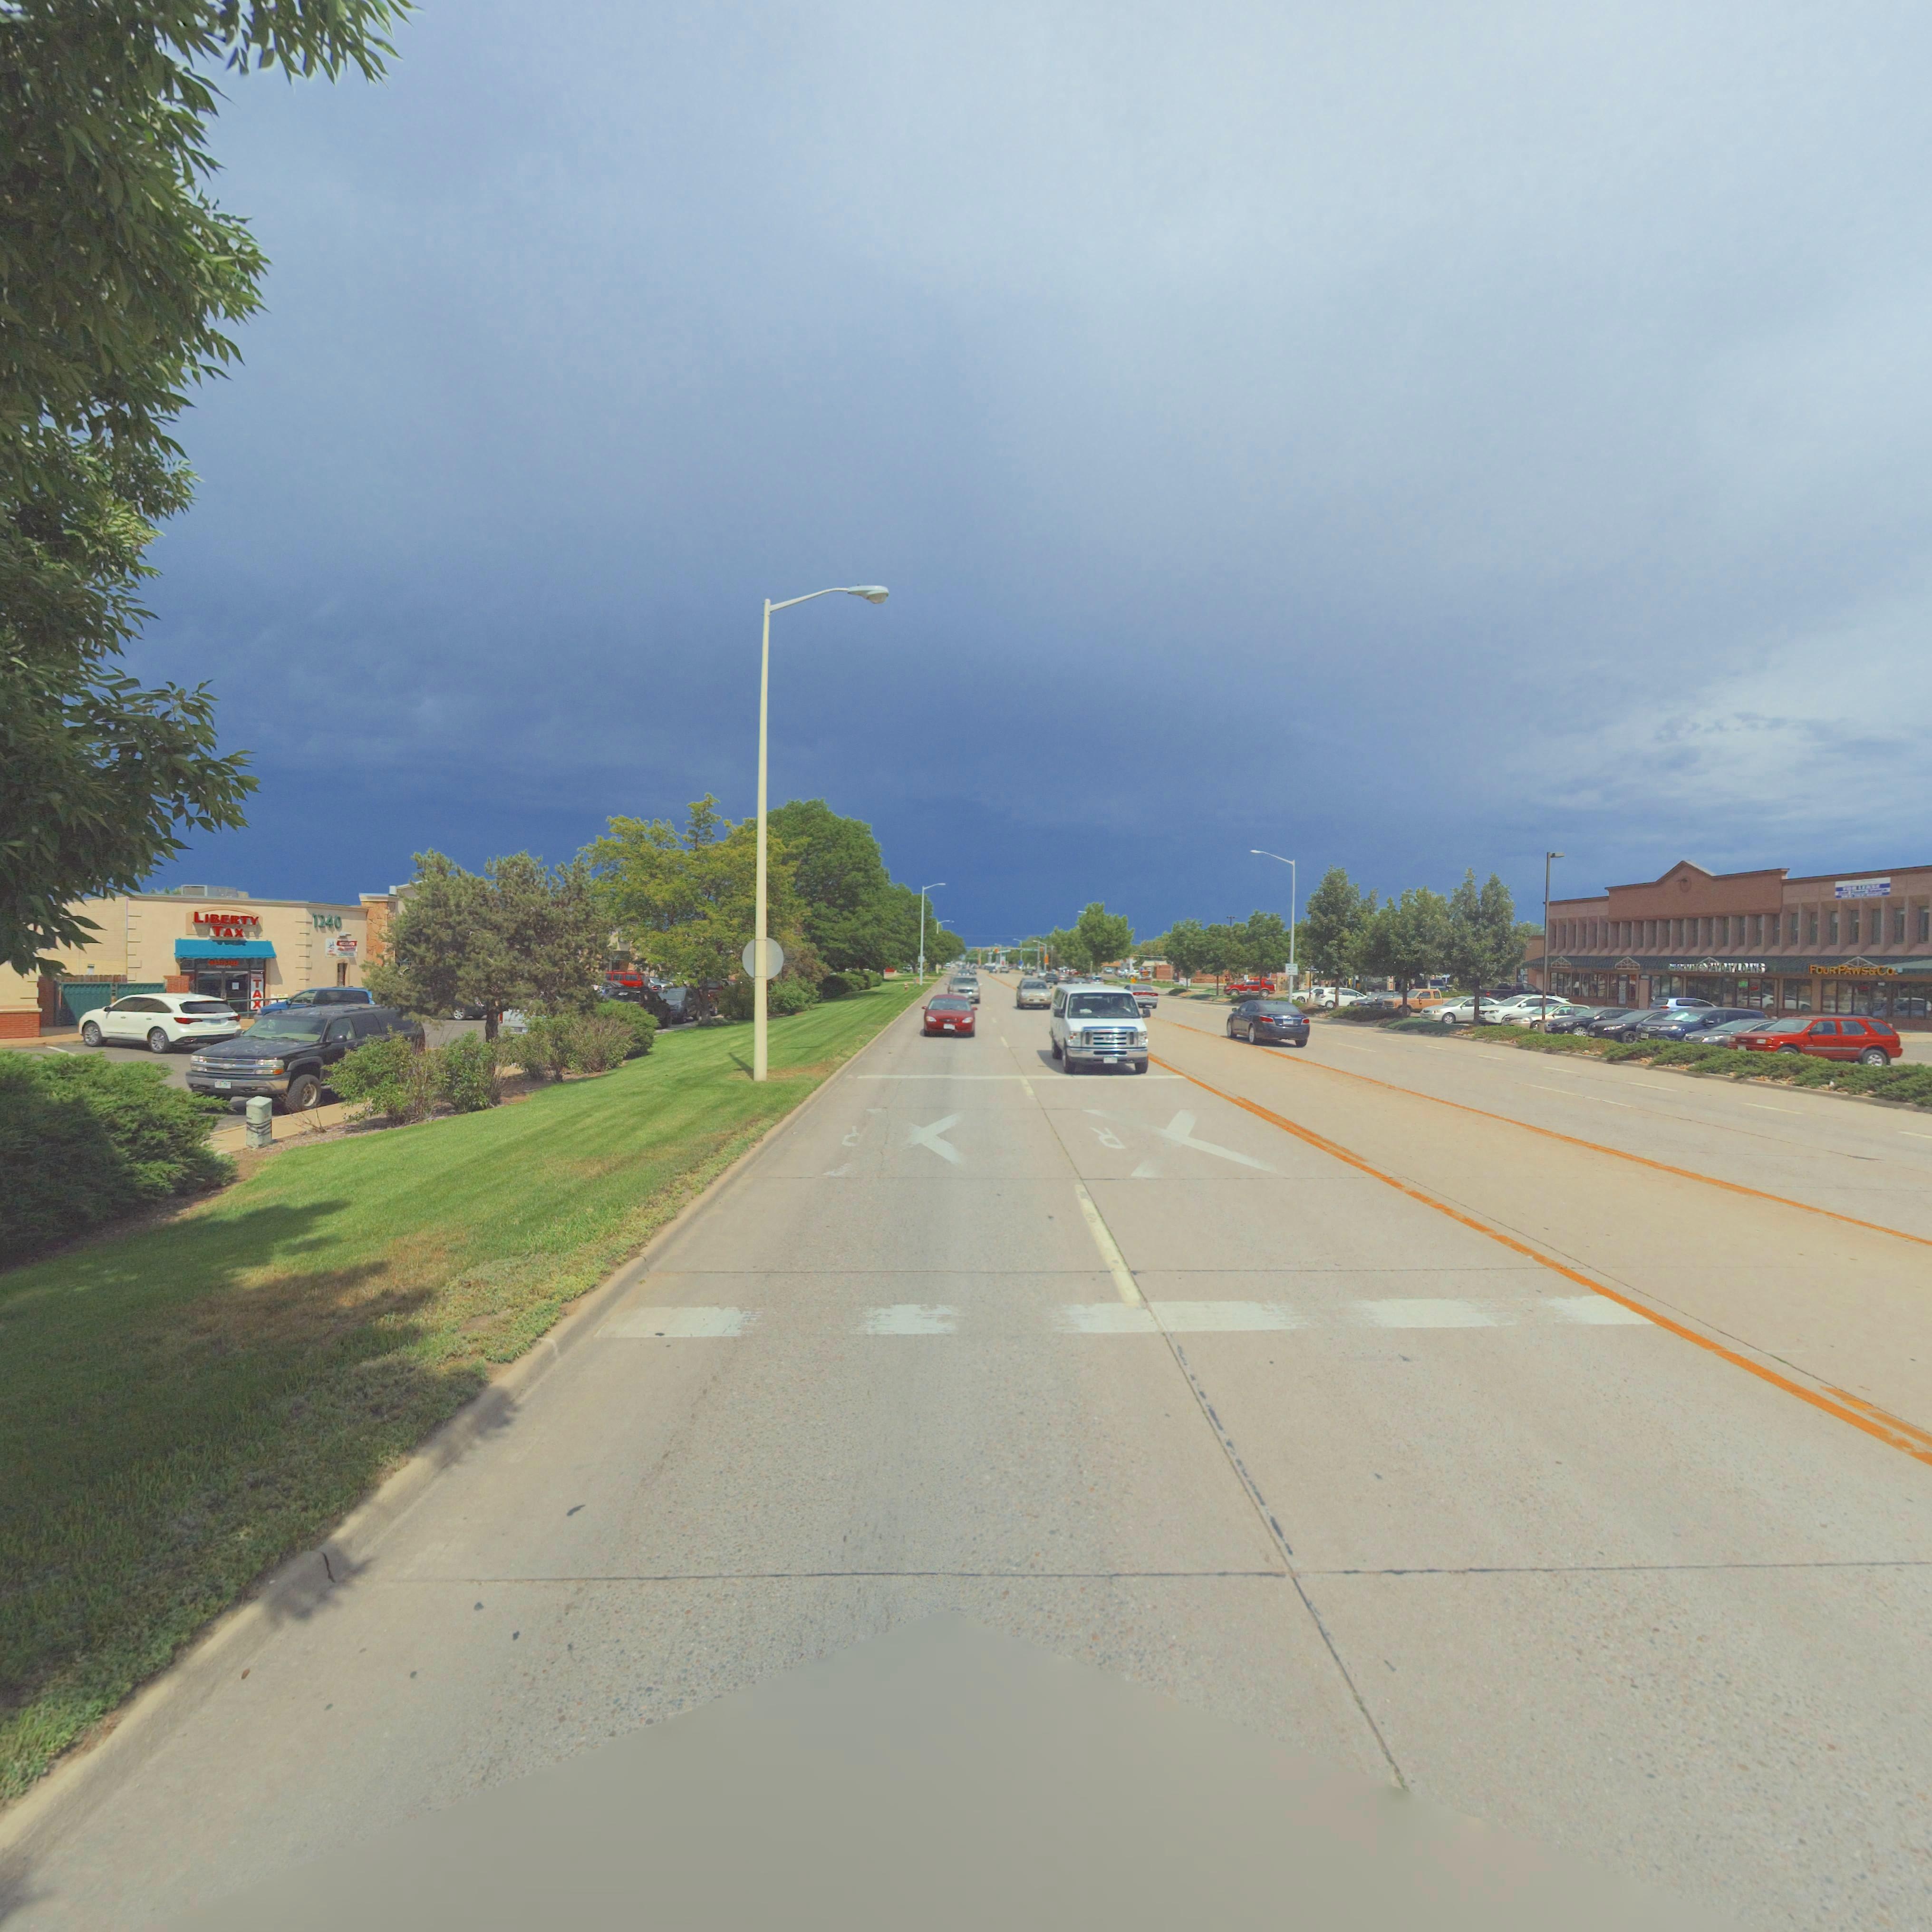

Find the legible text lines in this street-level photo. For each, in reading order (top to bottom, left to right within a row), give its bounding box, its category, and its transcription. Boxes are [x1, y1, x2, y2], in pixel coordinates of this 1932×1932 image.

[193, 911, 259, 925] BusinessName: LIBERTY
[312, 913, 342, 928] StreetNumber: 1240
[212, 925, 243, 937] BusinessName: TAX
[1666, 962, 1766, 973] BusinessName: CHECKMATE PAY DAY LOANS
[1809, 964, 1898, 976] BusinessName: FOUR PAWS & CO.